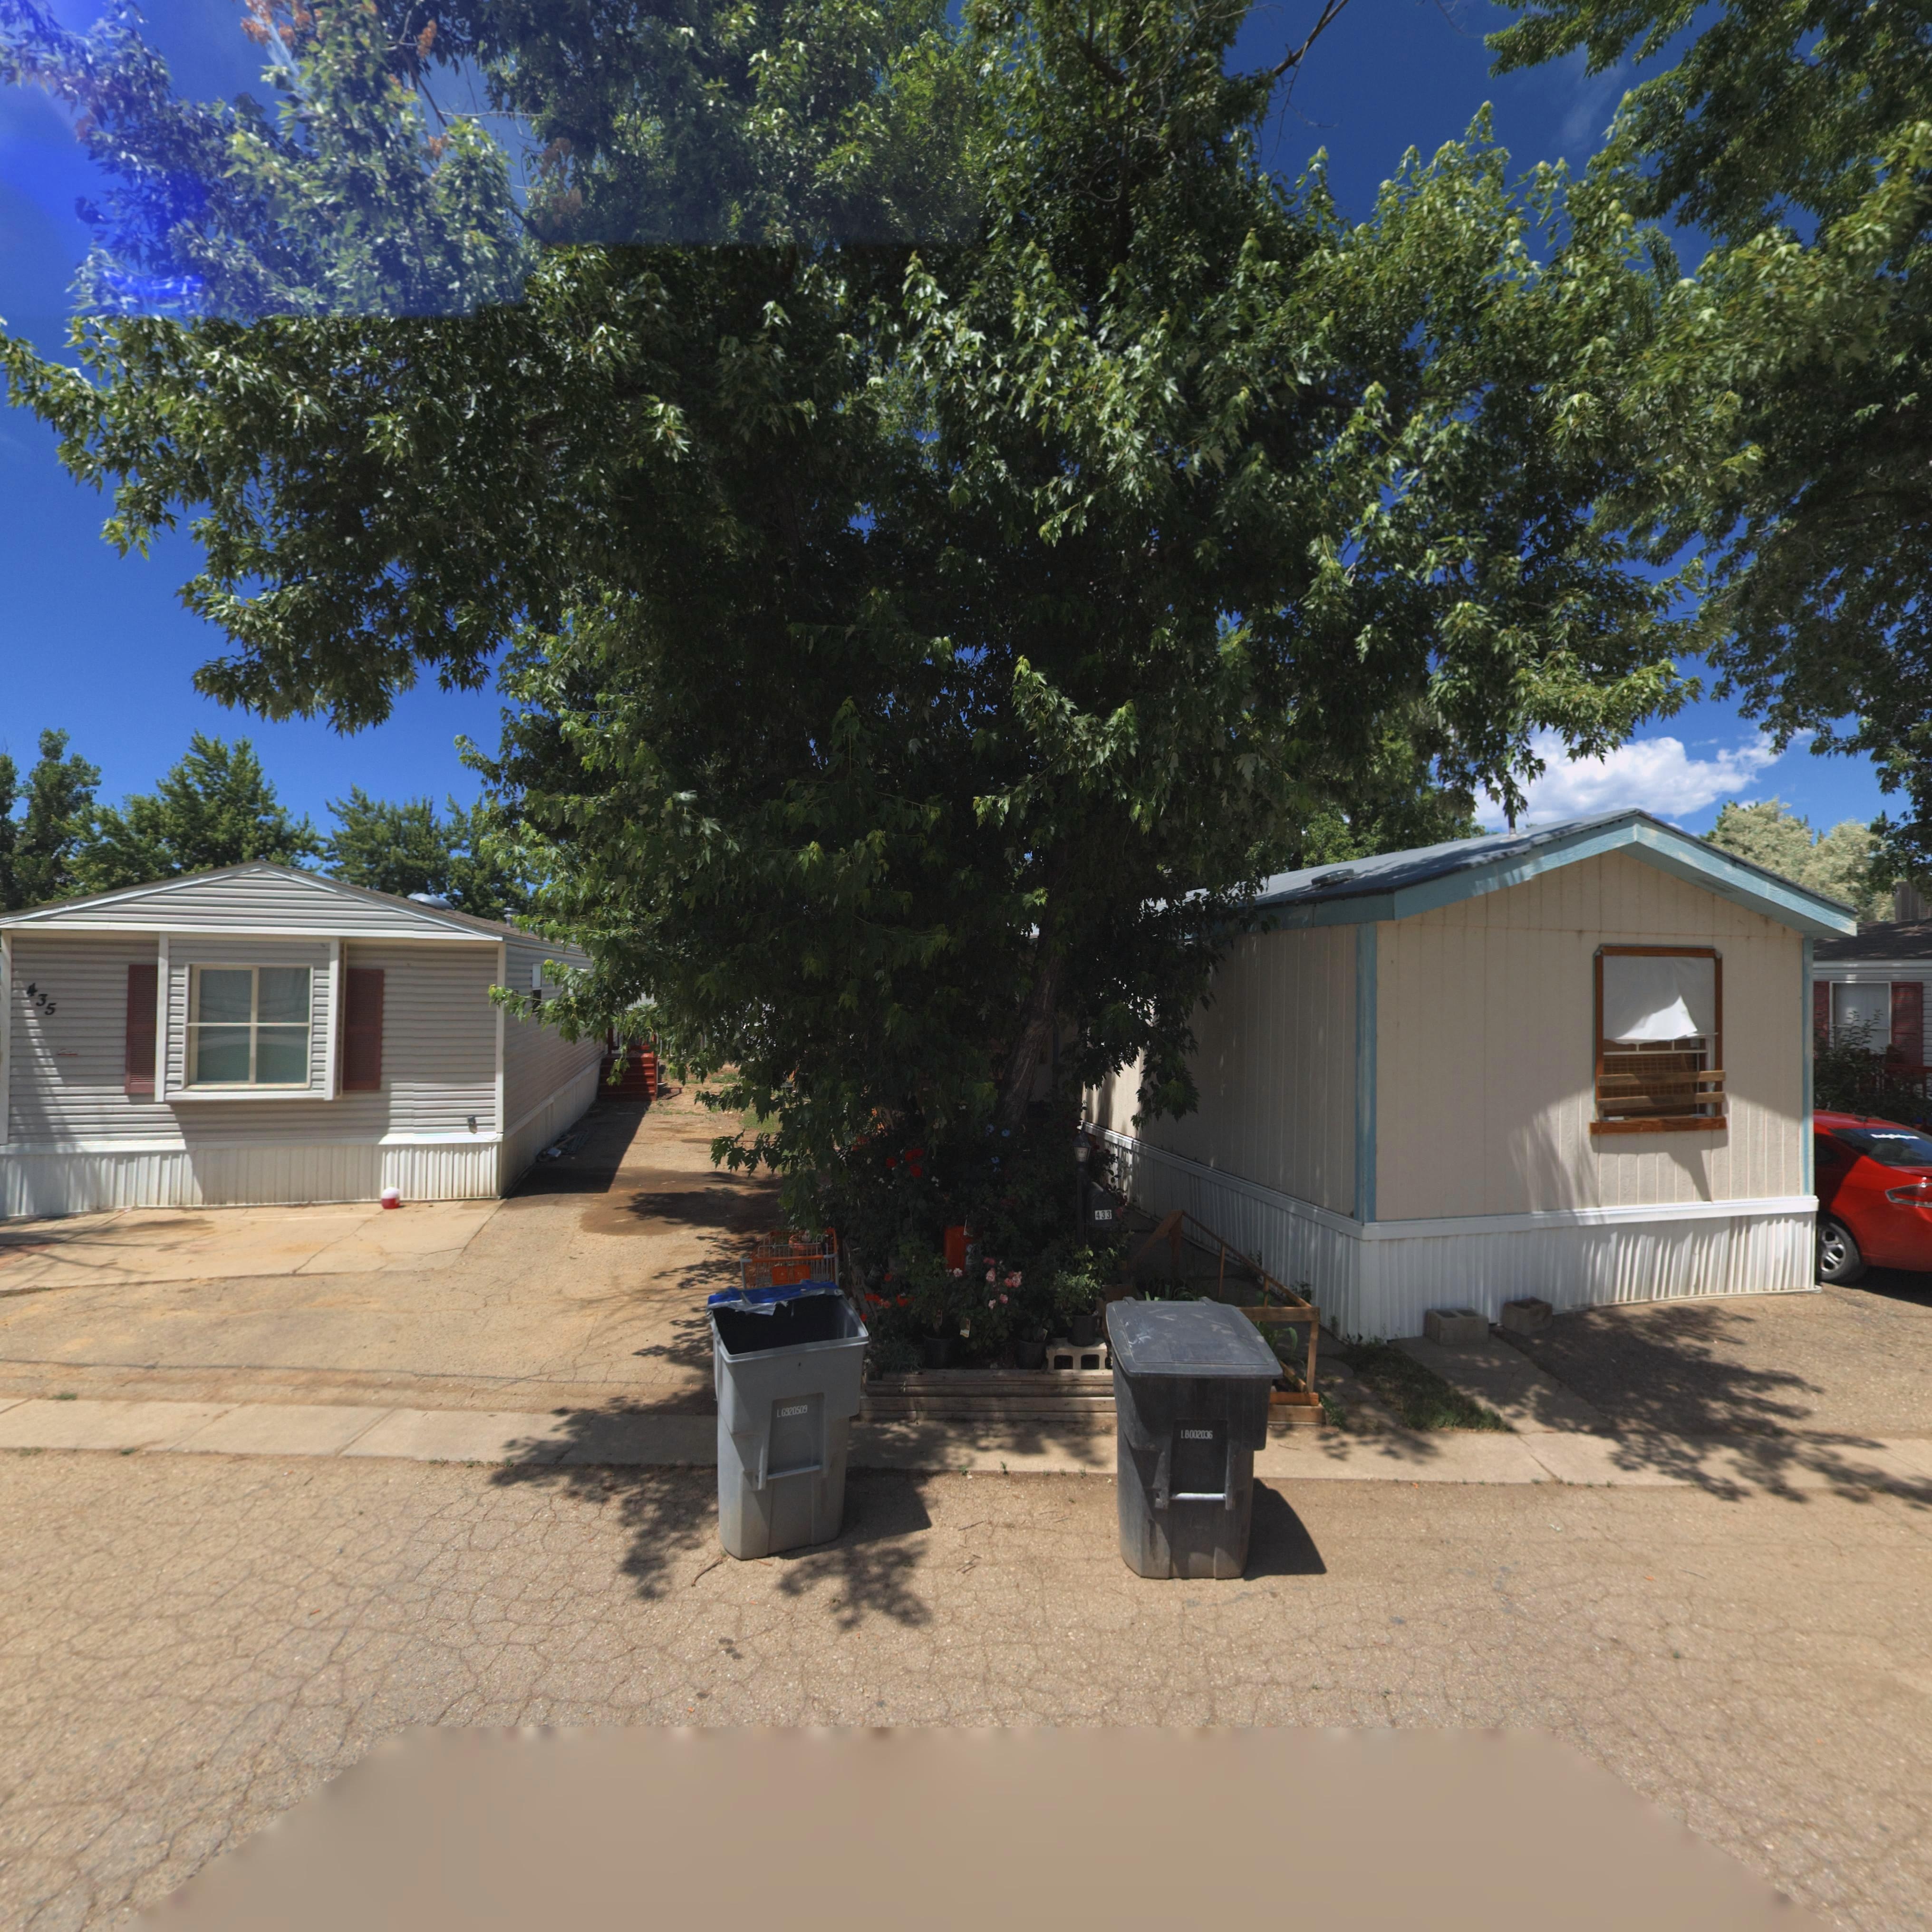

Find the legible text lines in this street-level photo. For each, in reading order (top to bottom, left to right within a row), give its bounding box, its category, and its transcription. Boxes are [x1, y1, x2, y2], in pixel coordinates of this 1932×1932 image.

[26, 982, 57, 1015] StreetNumber: 435
[1096, 1210, 1111, 1219] StreetNumber: 433